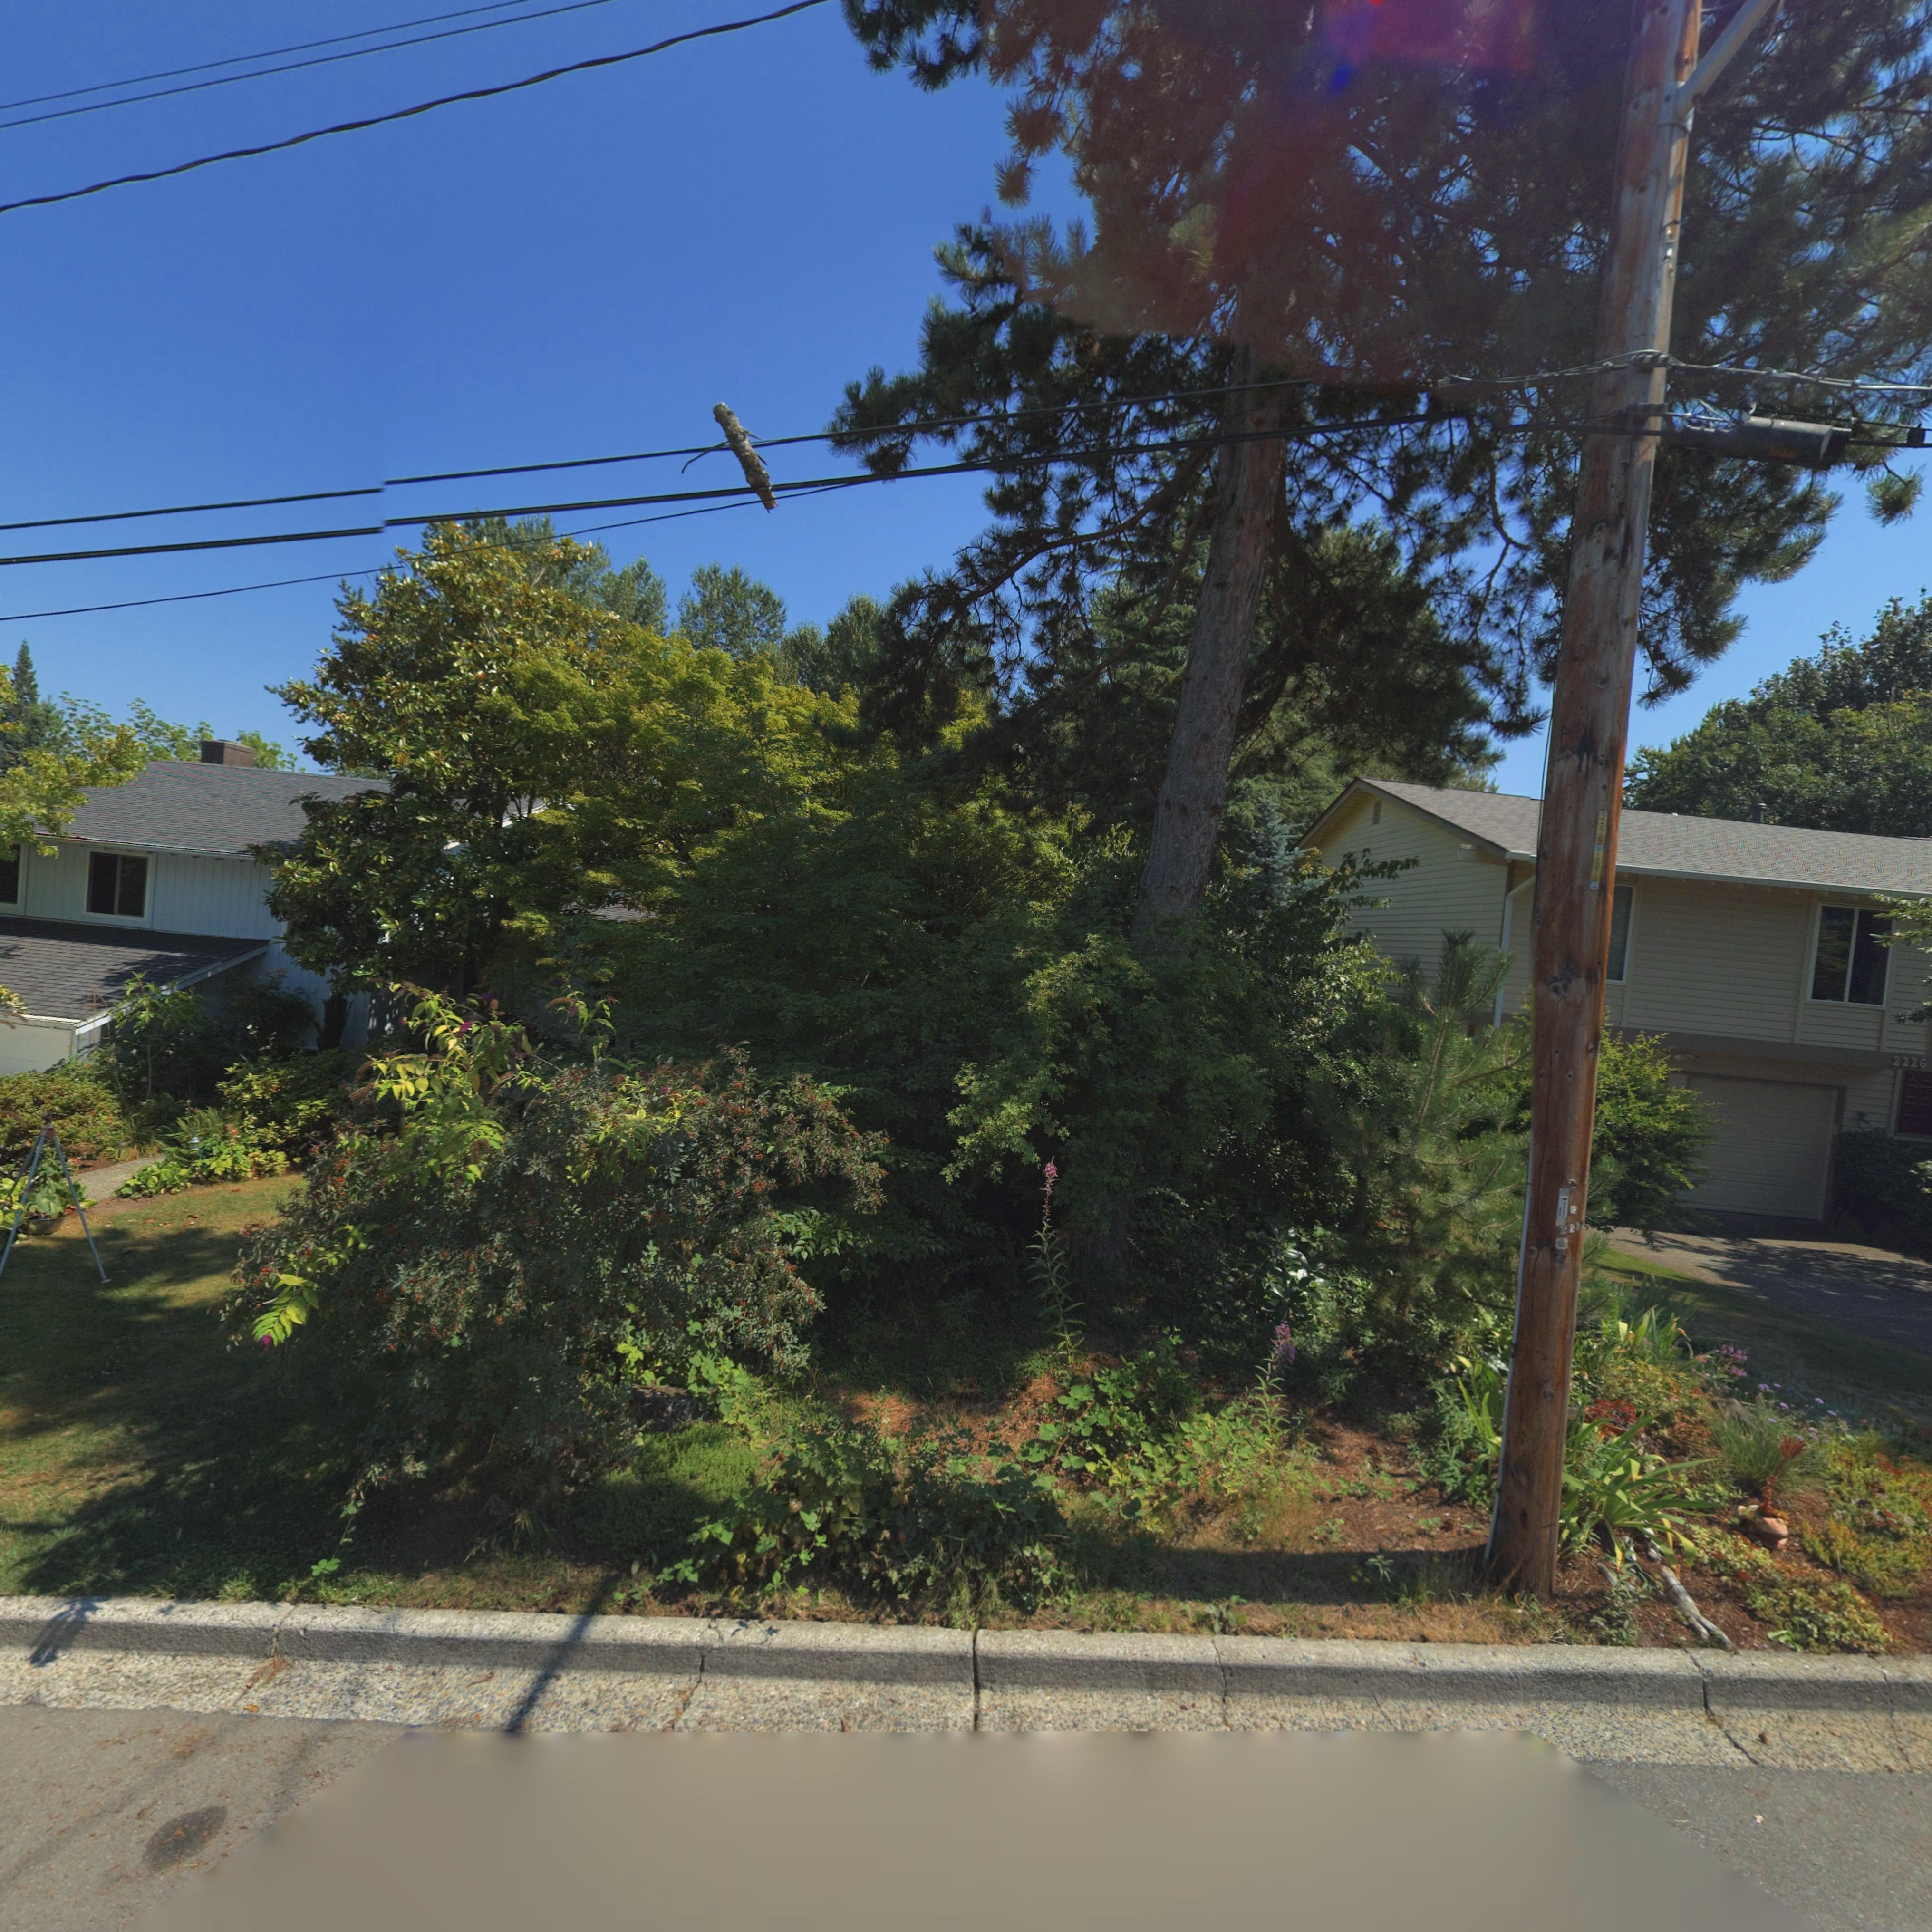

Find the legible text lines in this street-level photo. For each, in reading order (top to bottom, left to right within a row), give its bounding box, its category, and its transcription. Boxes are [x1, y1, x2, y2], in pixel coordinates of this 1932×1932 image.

[1892, 1055, 1927, 1068] StreetNumber: 2226